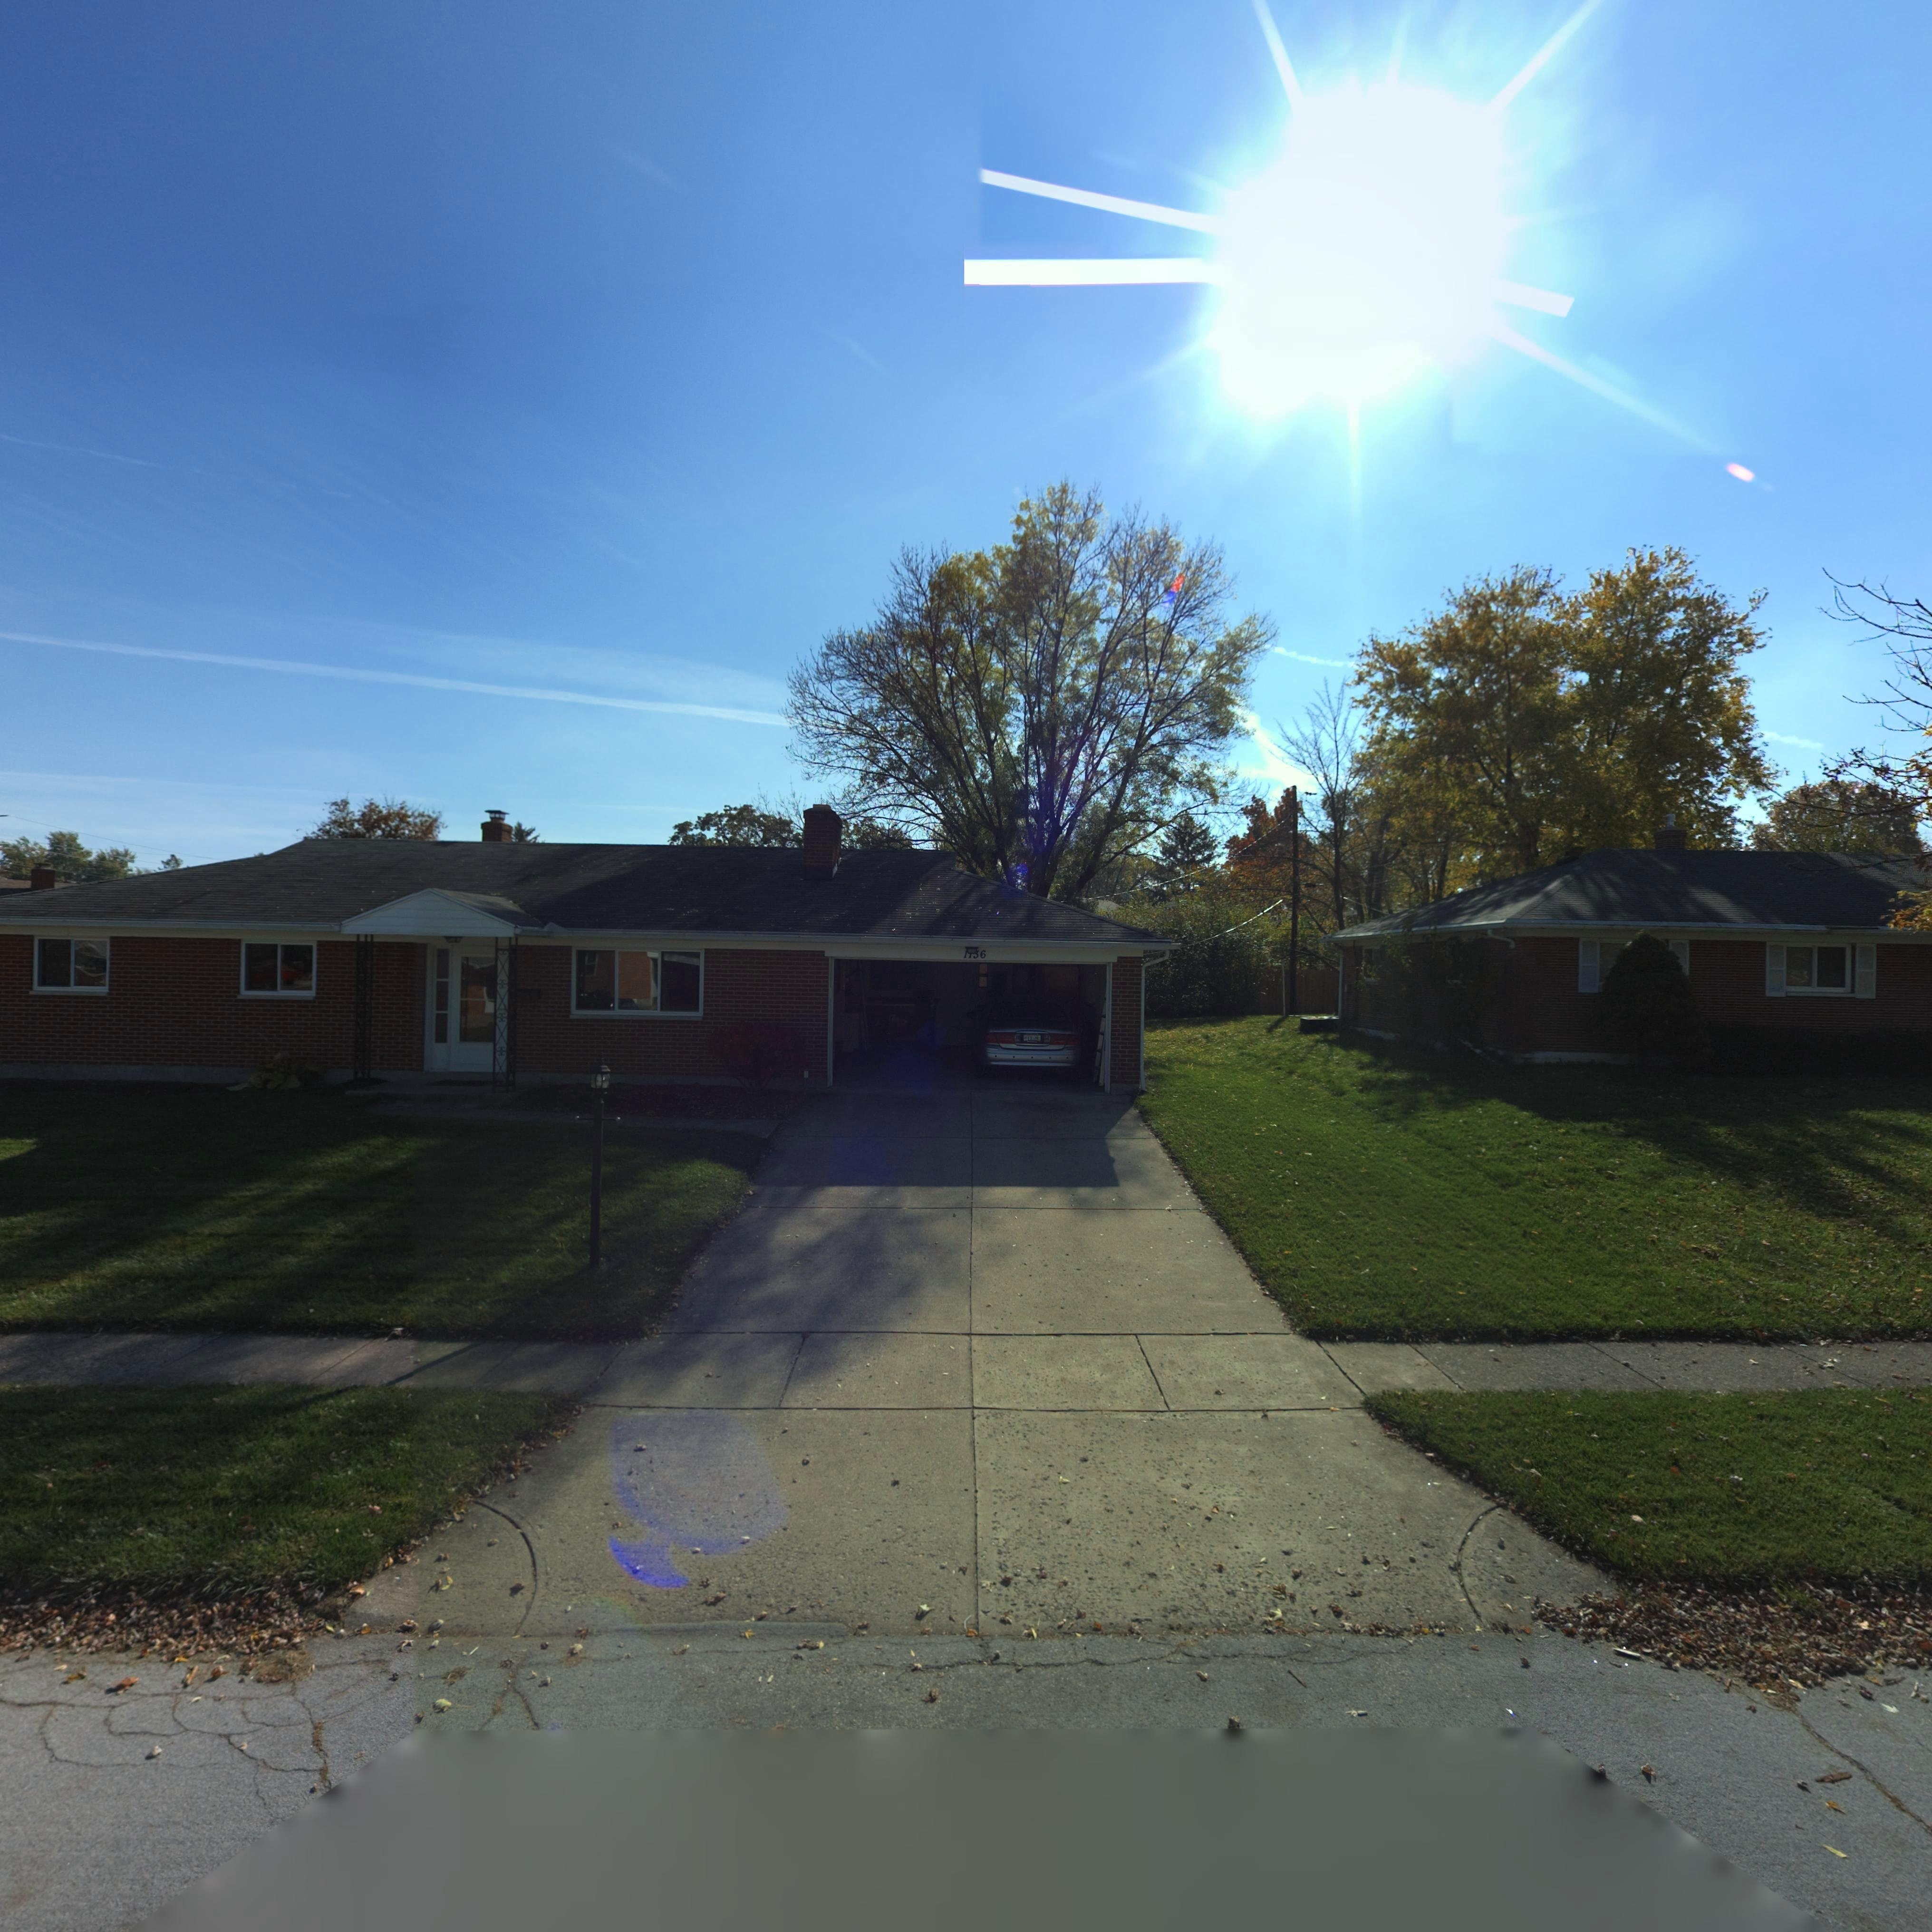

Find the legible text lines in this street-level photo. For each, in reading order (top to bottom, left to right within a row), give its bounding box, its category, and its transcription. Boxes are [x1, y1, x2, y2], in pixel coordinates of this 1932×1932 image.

[962, 948, 988, 959] StreetNumber: 1**6